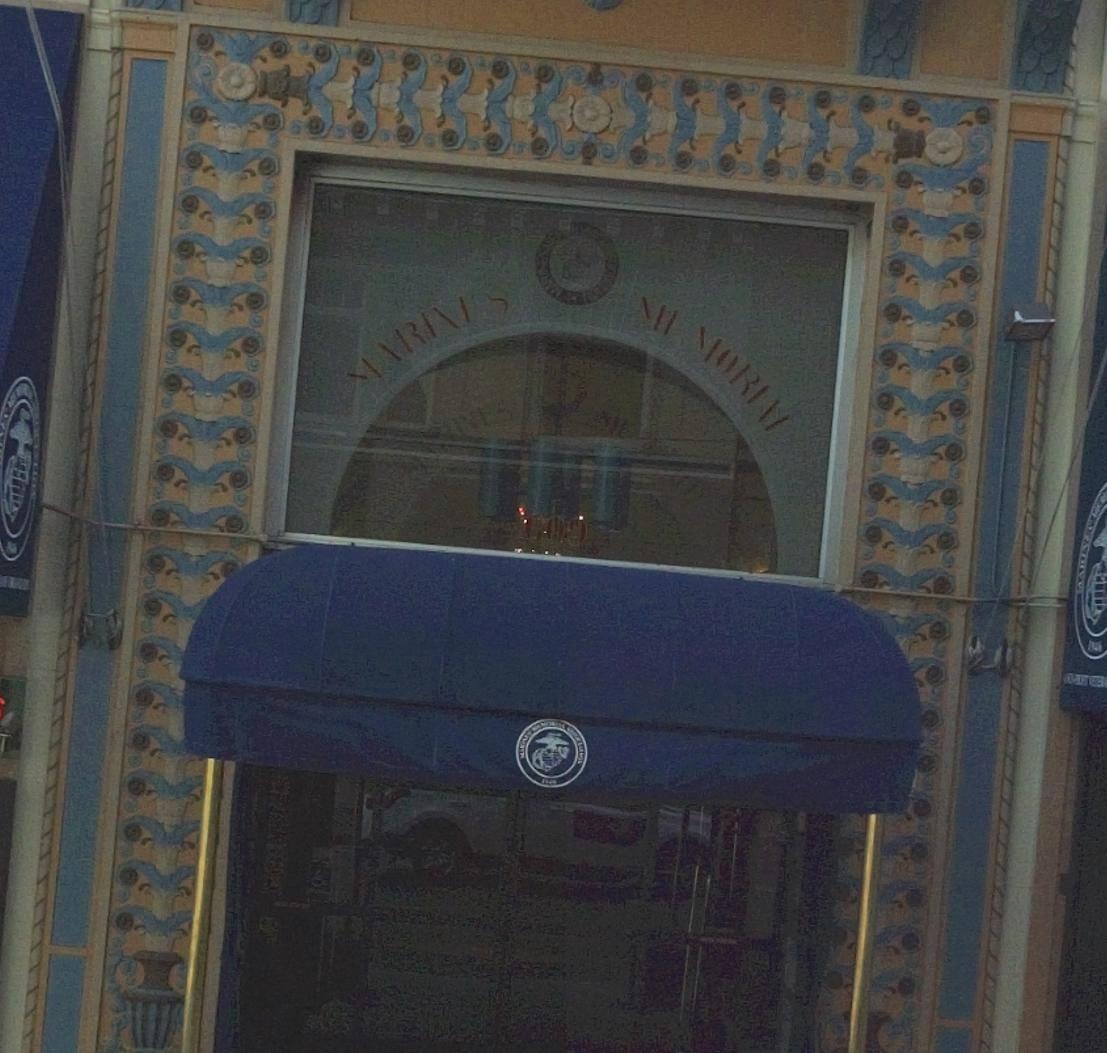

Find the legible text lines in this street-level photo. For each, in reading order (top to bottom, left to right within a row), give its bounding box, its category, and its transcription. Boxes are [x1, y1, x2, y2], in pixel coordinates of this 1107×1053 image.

[336, 303, 445, 401] None: M**I
[705, 340, 775, 413] None: ORI
[520, 513, 592, 549] StreetNumber: 609